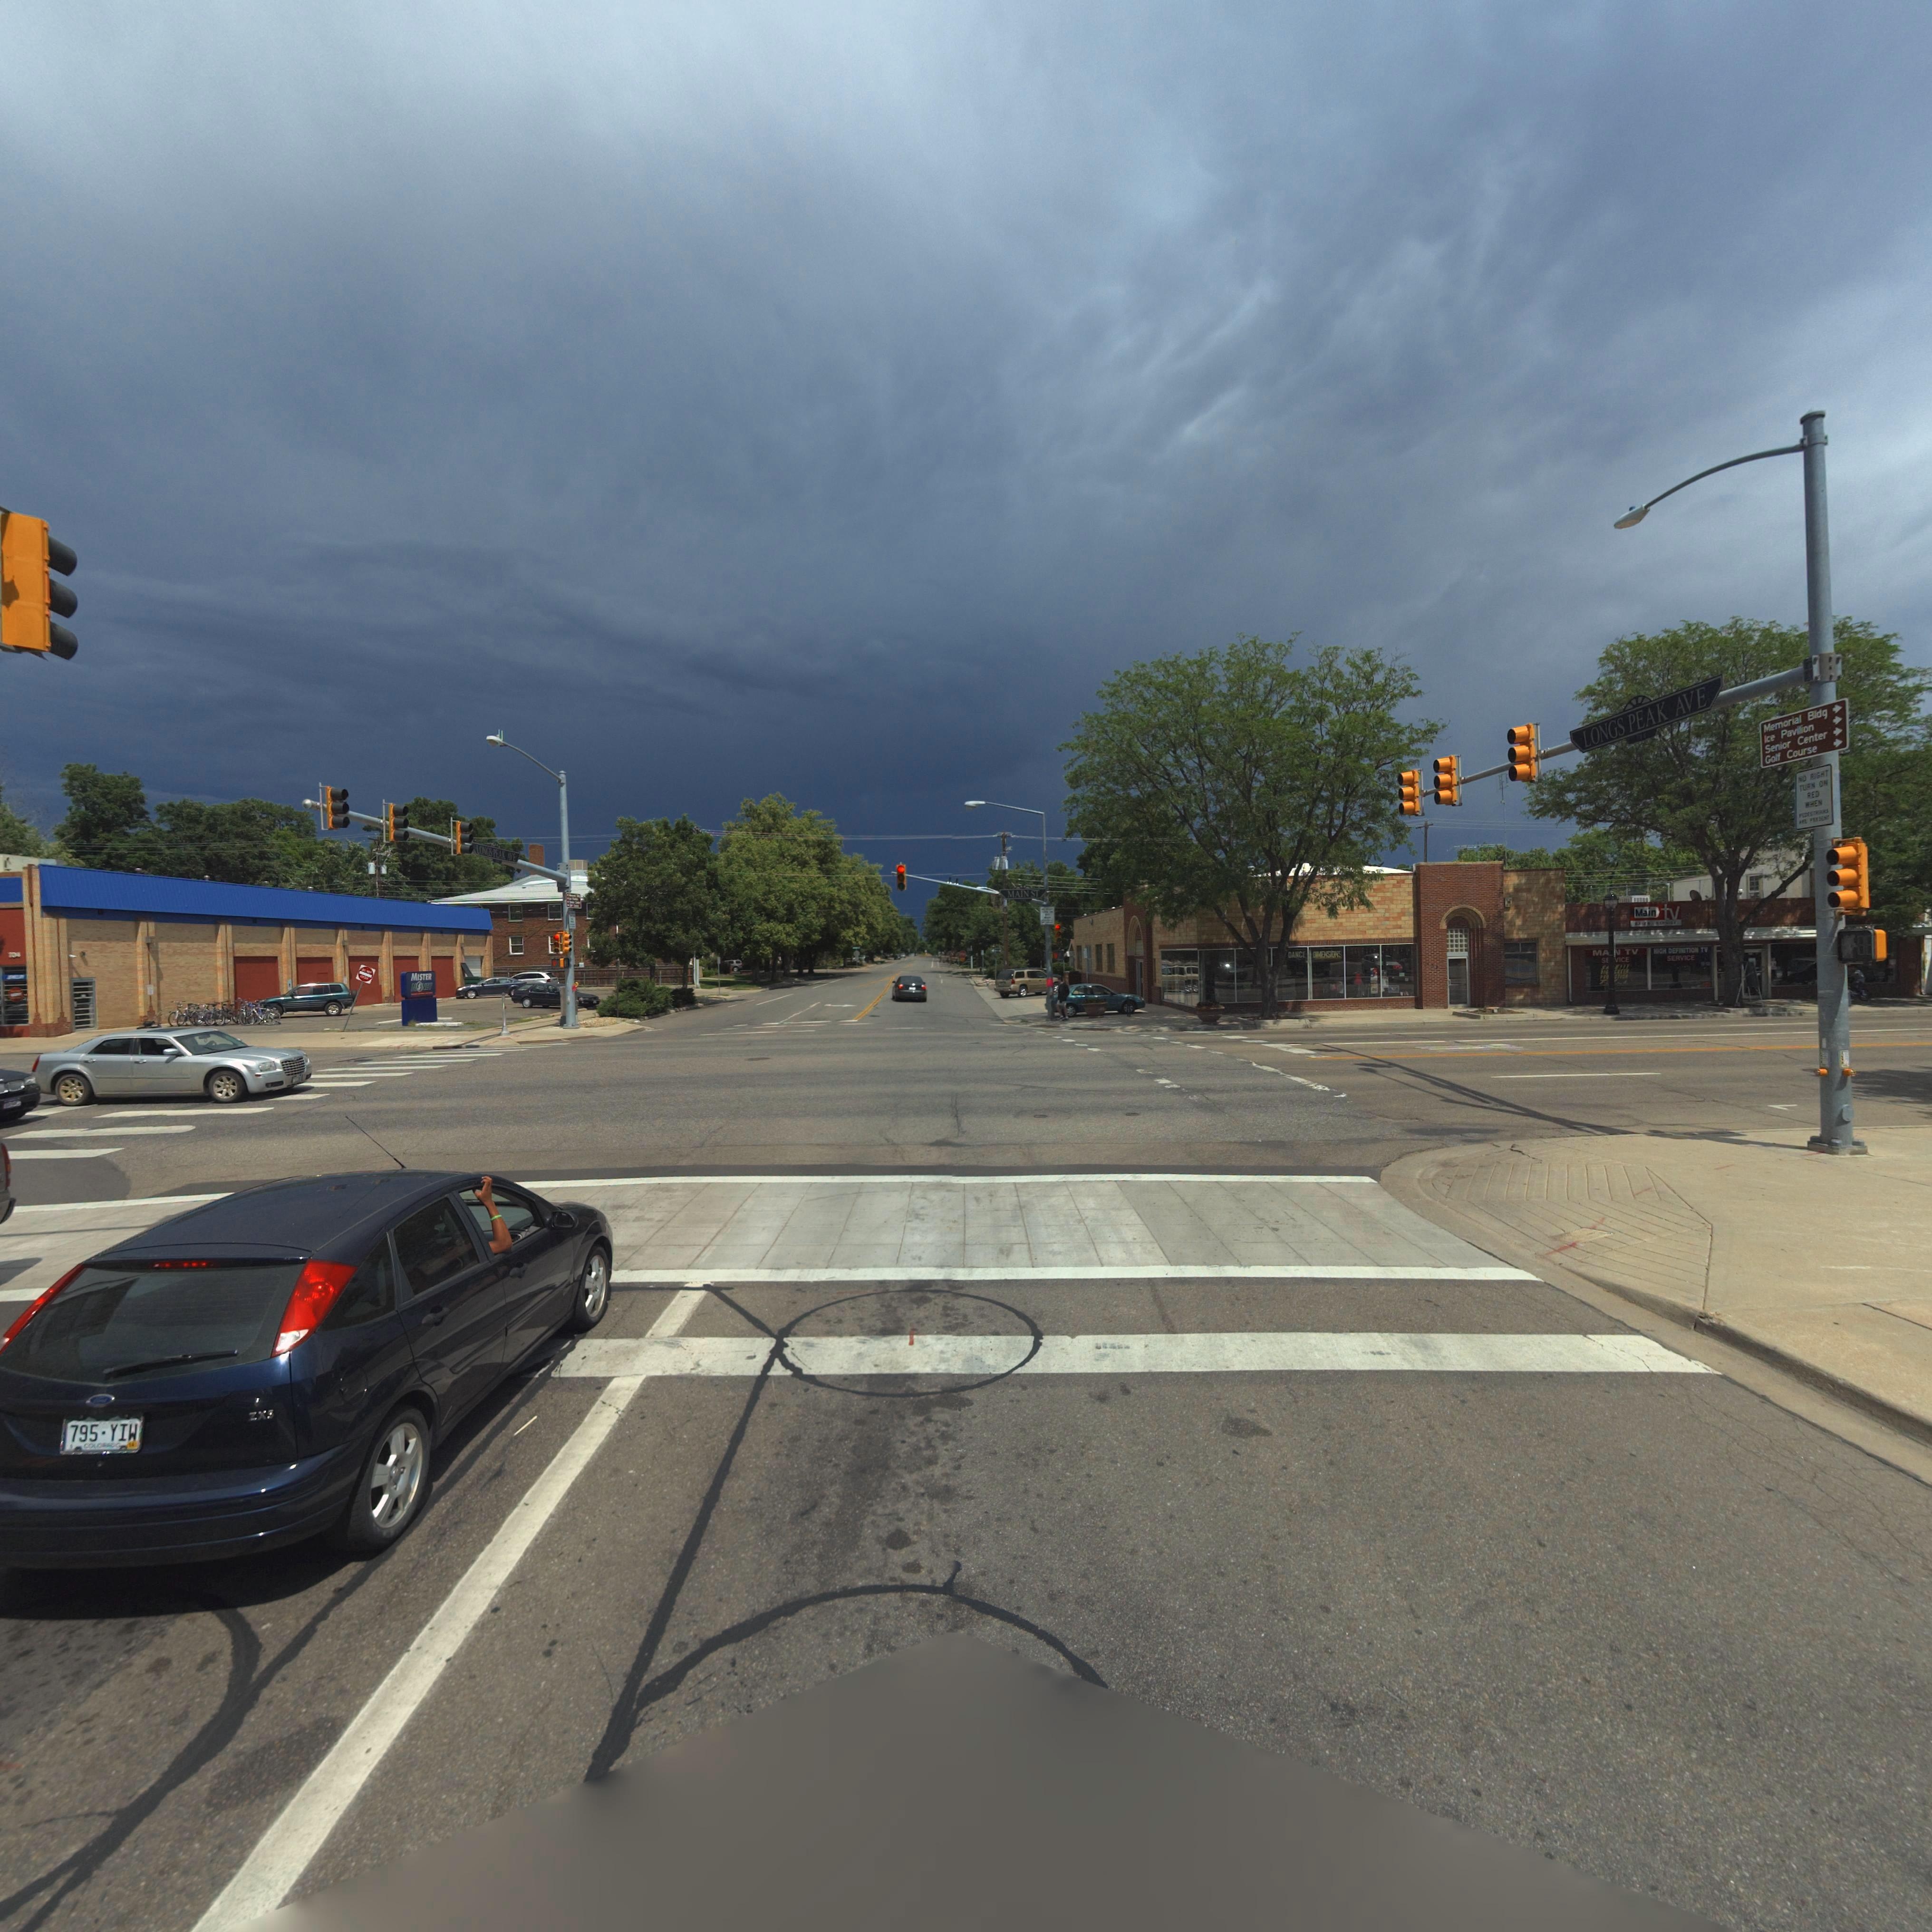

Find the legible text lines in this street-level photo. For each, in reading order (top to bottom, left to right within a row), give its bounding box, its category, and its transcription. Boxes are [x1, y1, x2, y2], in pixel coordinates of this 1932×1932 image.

[1582, 685, 1707, 748] StreetName: LONGS PEAK AVE
[476, 844, 516, 862] StreetName: LONGS PEAK AVE
[1007, 889, 1040, 898] StreetName: MAIN ST
[1635, 907, 1656, 917] BusinessName: Main
[1660, 903, 1680, 920] BusinessName: tv
[7, 952, 21, 958] StreetNumber: *04
[1288, 950, 1343, 958] BusinessName: DANCE DIMENSIONS
[1592, 948, 1639, 956] BusinessName: MA*N TV
[1601, 956, 1629, 964] BusinessName: SE*VICE
[410, 972, 432, 981] BusinessName: MISTER
[411, 981, 432, 992] BusinessName: M*NEY